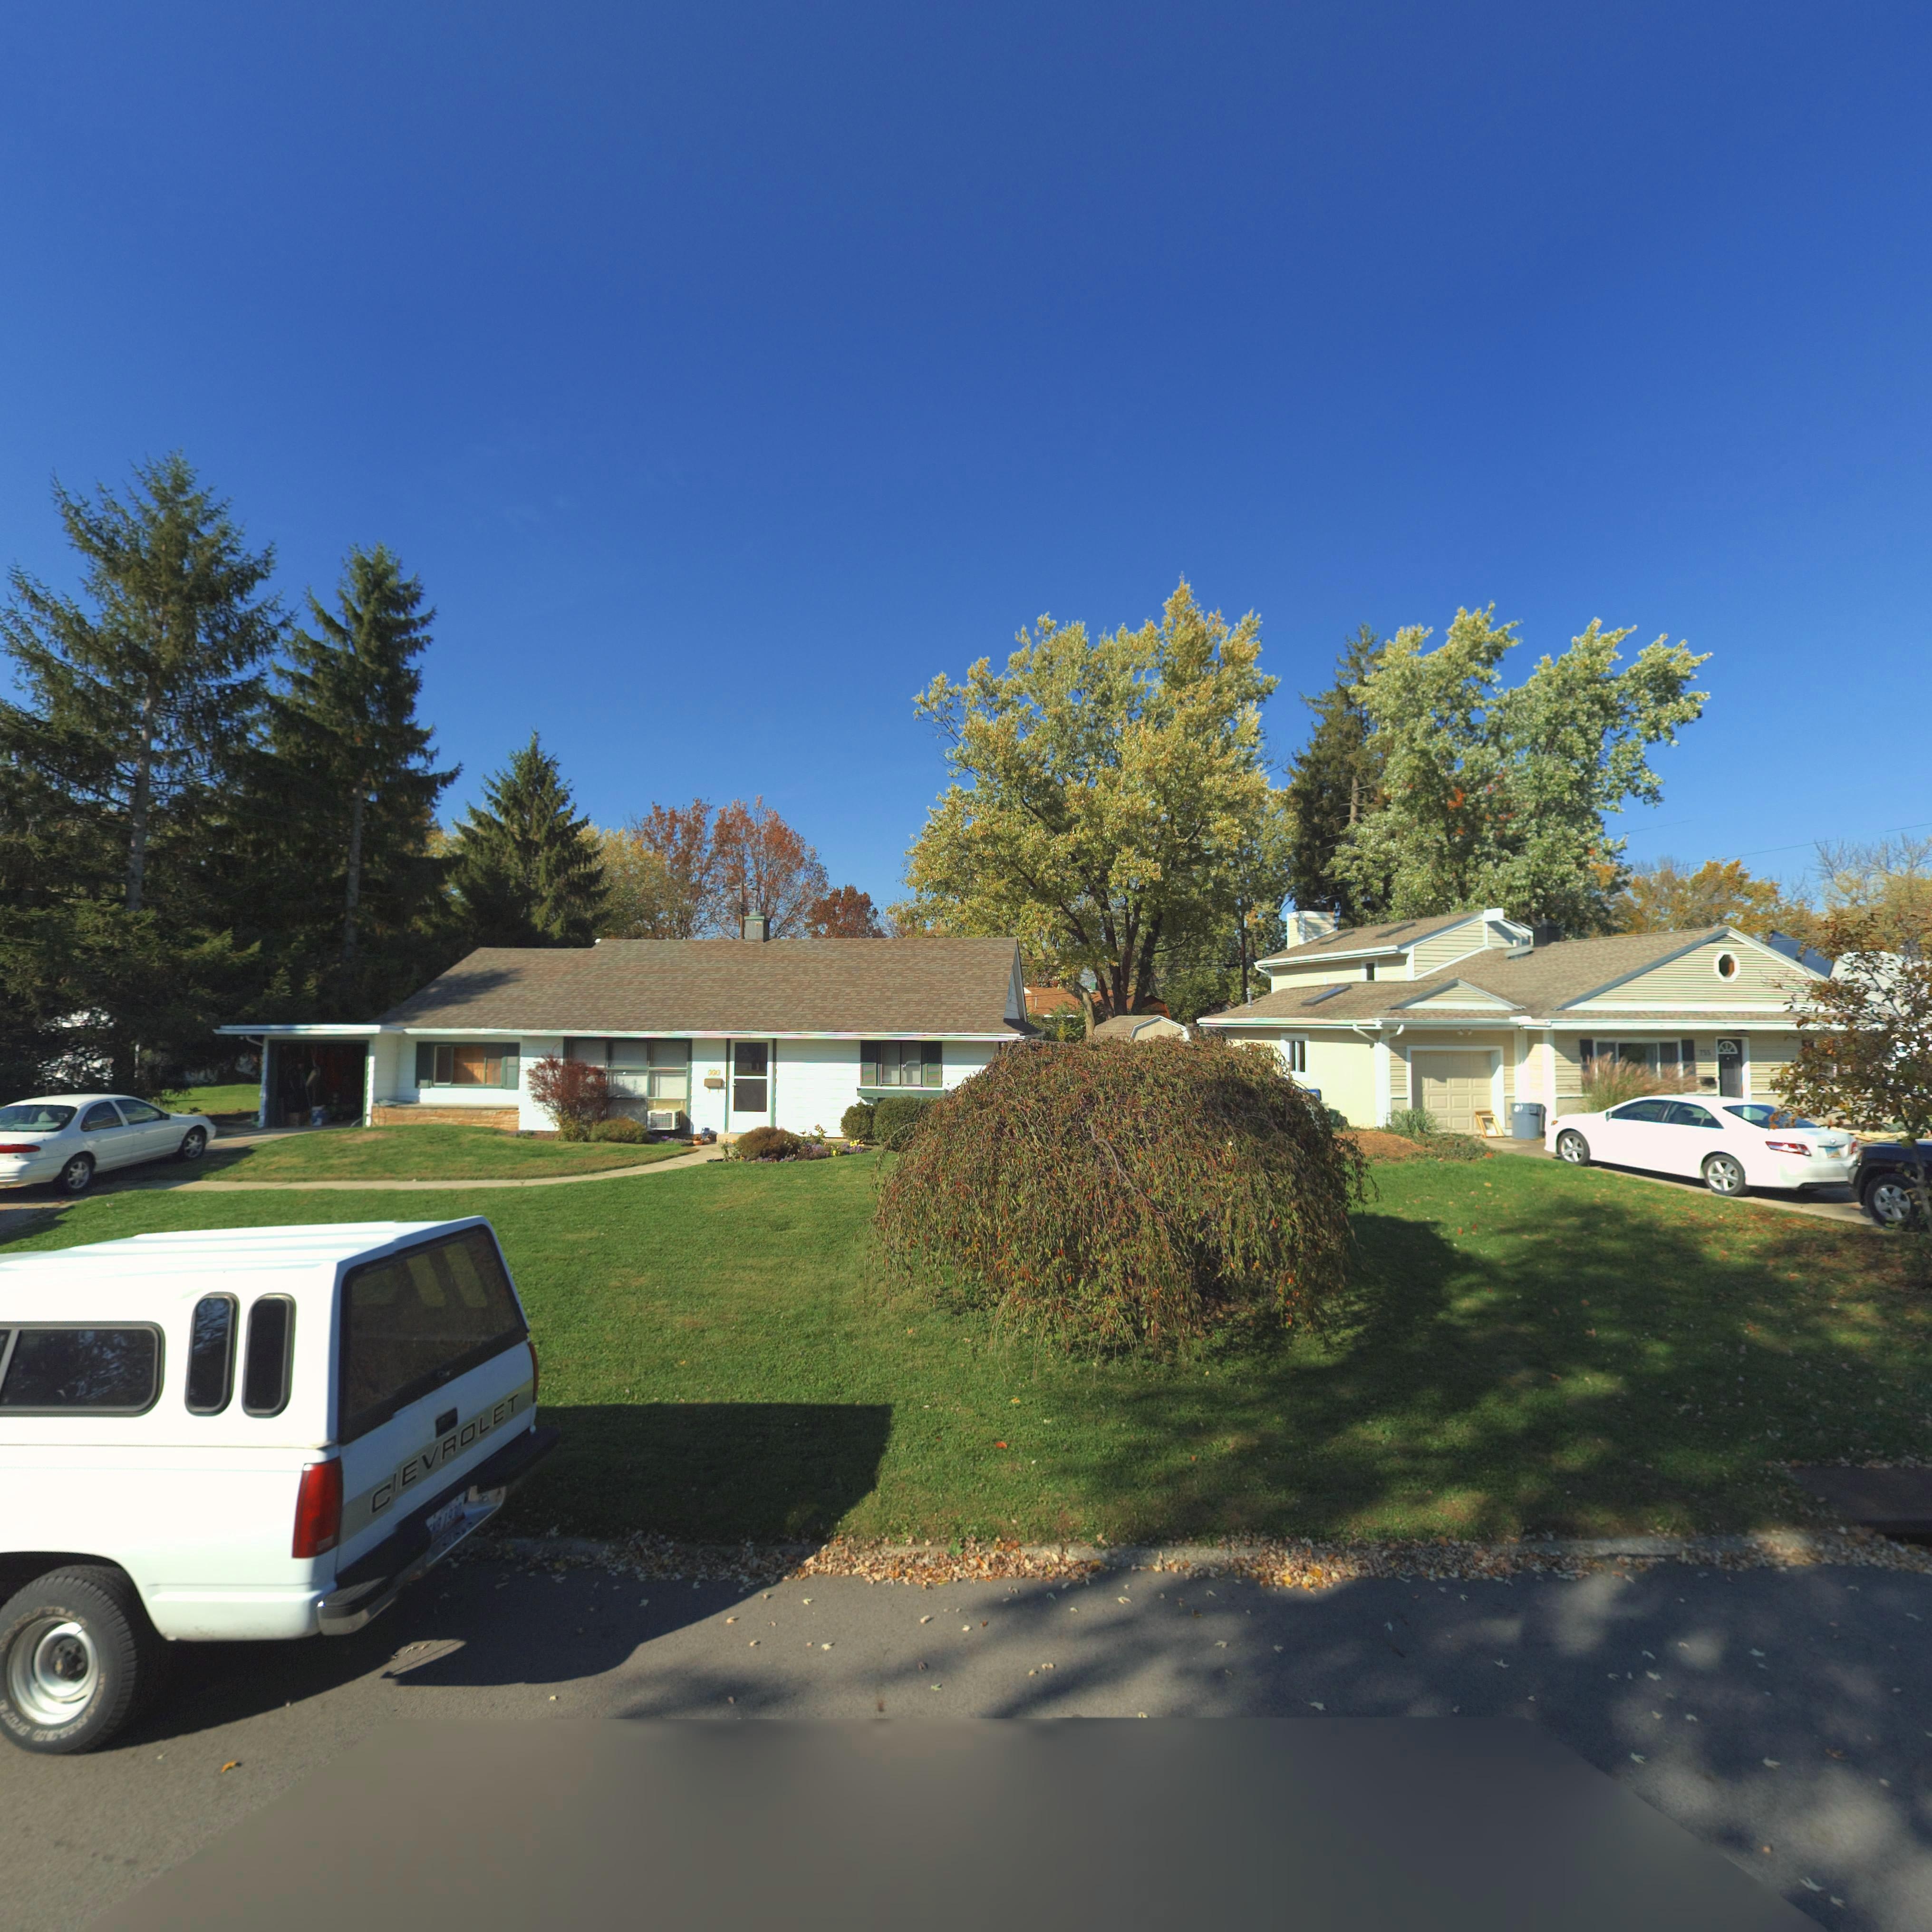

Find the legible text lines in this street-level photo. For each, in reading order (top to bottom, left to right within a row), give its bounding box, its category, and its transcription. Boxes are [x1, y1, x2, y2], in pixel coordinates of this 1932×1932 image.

[370, 1391, 521, 1517] None: C*EVROLET